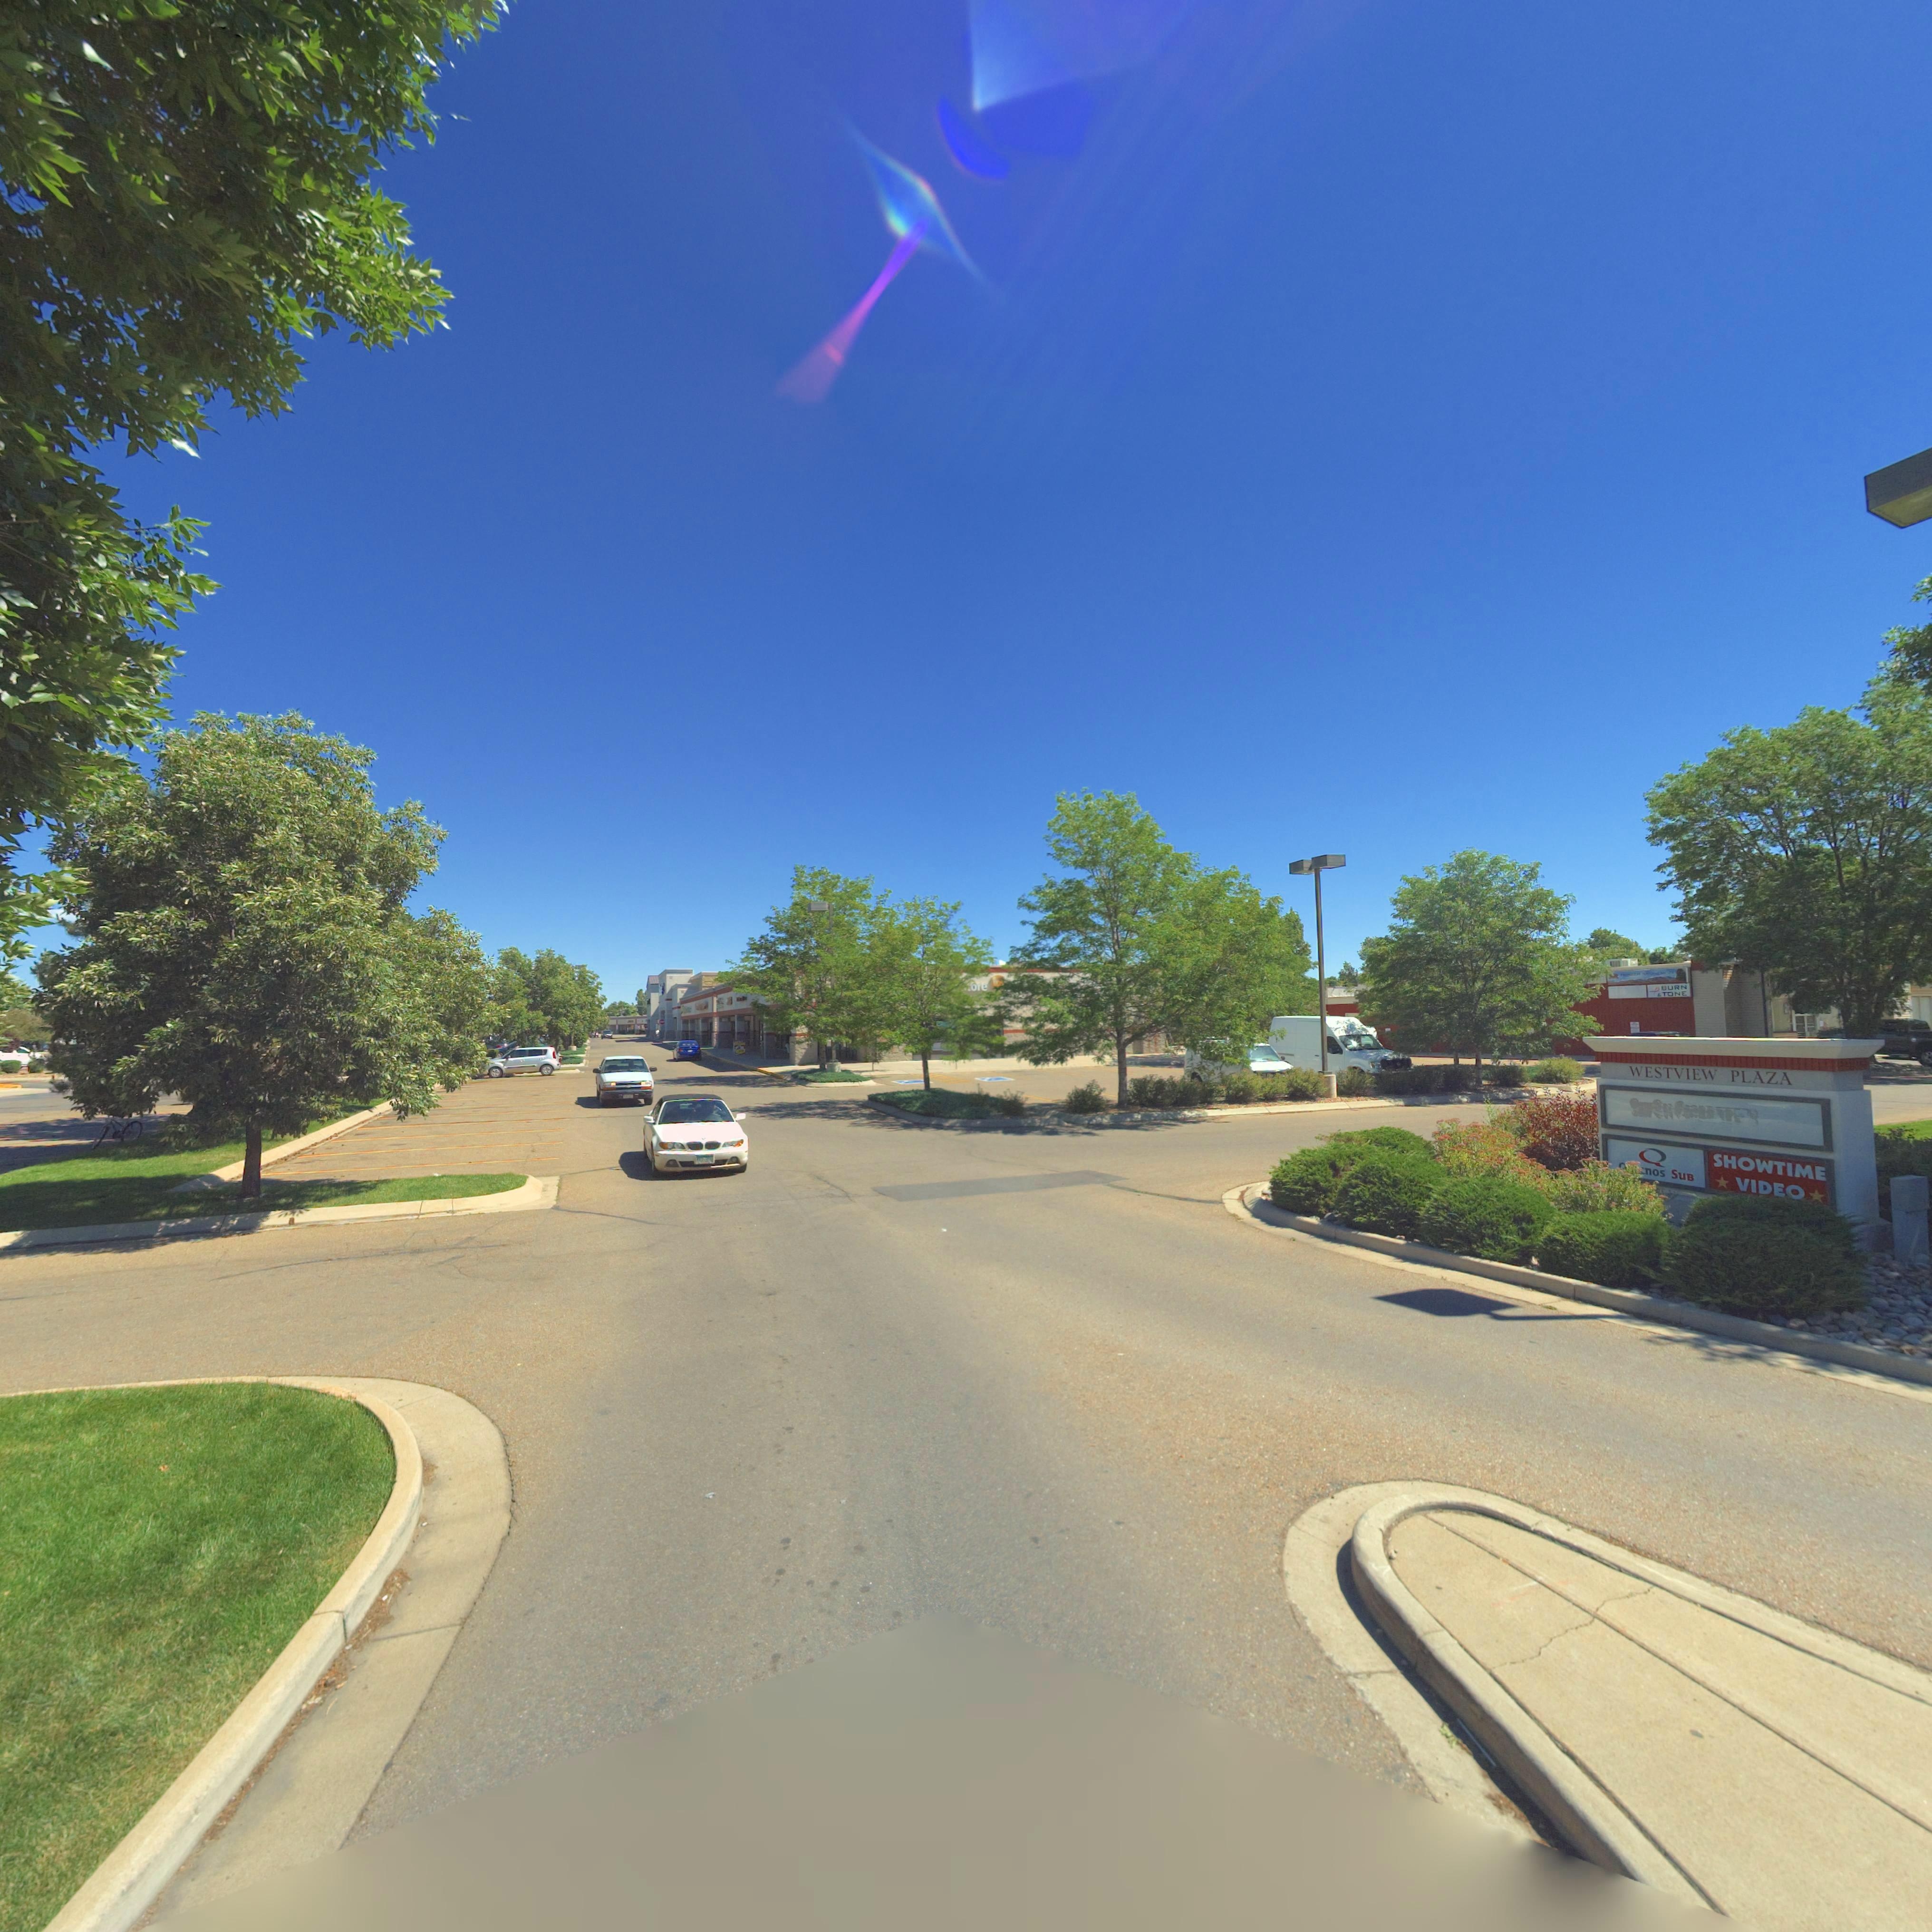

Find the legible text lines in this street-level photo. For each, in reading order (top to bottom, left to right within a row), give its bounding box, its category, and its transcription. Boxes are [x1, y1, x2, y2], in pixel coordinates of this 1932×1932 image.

[963, 981, 988, 992] BusinessName: **ore
[992, 979, 1004, 990] BusinessName: ups
[1618, 1161, 1695, 1182] BusinessName: Q***nos SuB
[1713, 1153, 1826, 1181] BusinessName: SHOWTIME
[1736, 1177, 1805, 1200] BusinessName: VIDEO